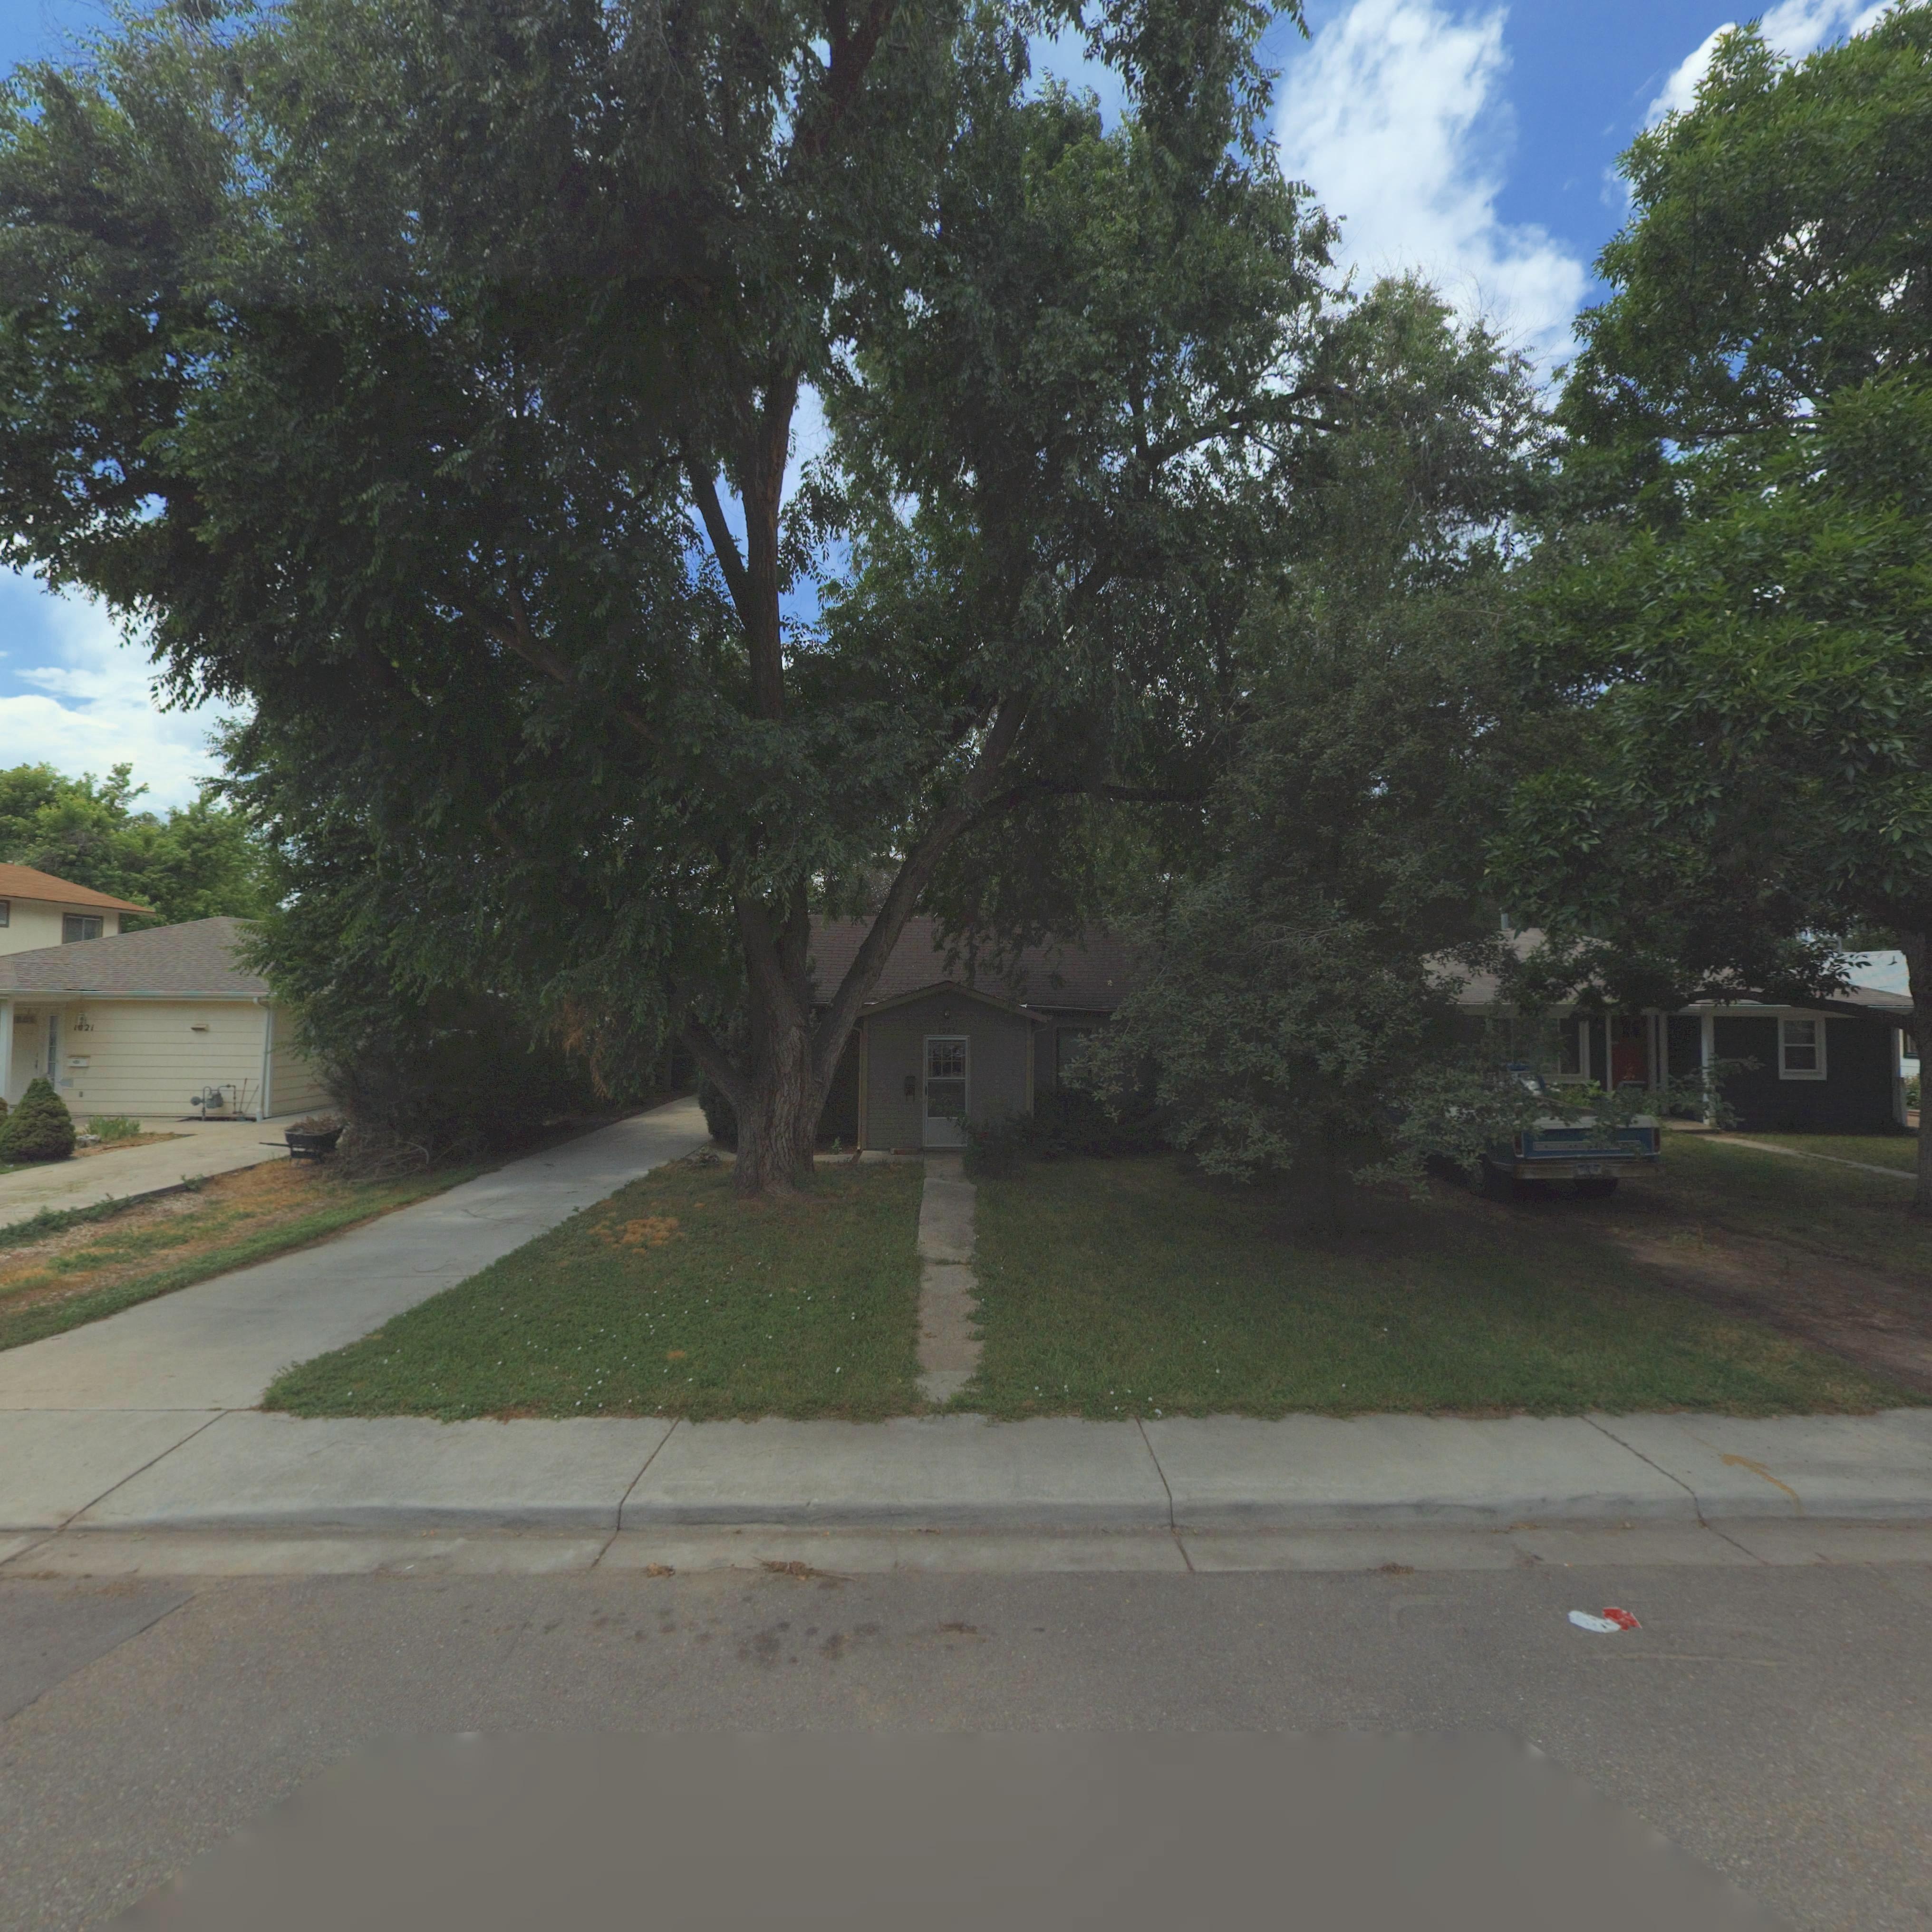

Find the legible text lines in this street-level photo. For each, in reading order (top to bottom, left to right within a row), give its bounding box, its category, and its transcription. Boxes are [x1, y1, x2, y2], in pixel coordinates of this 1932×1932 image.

[73, 1023, 94, 1031] StreetNumber: 1021
[937, 1026, 956, 1034] StreetNumber: 1025